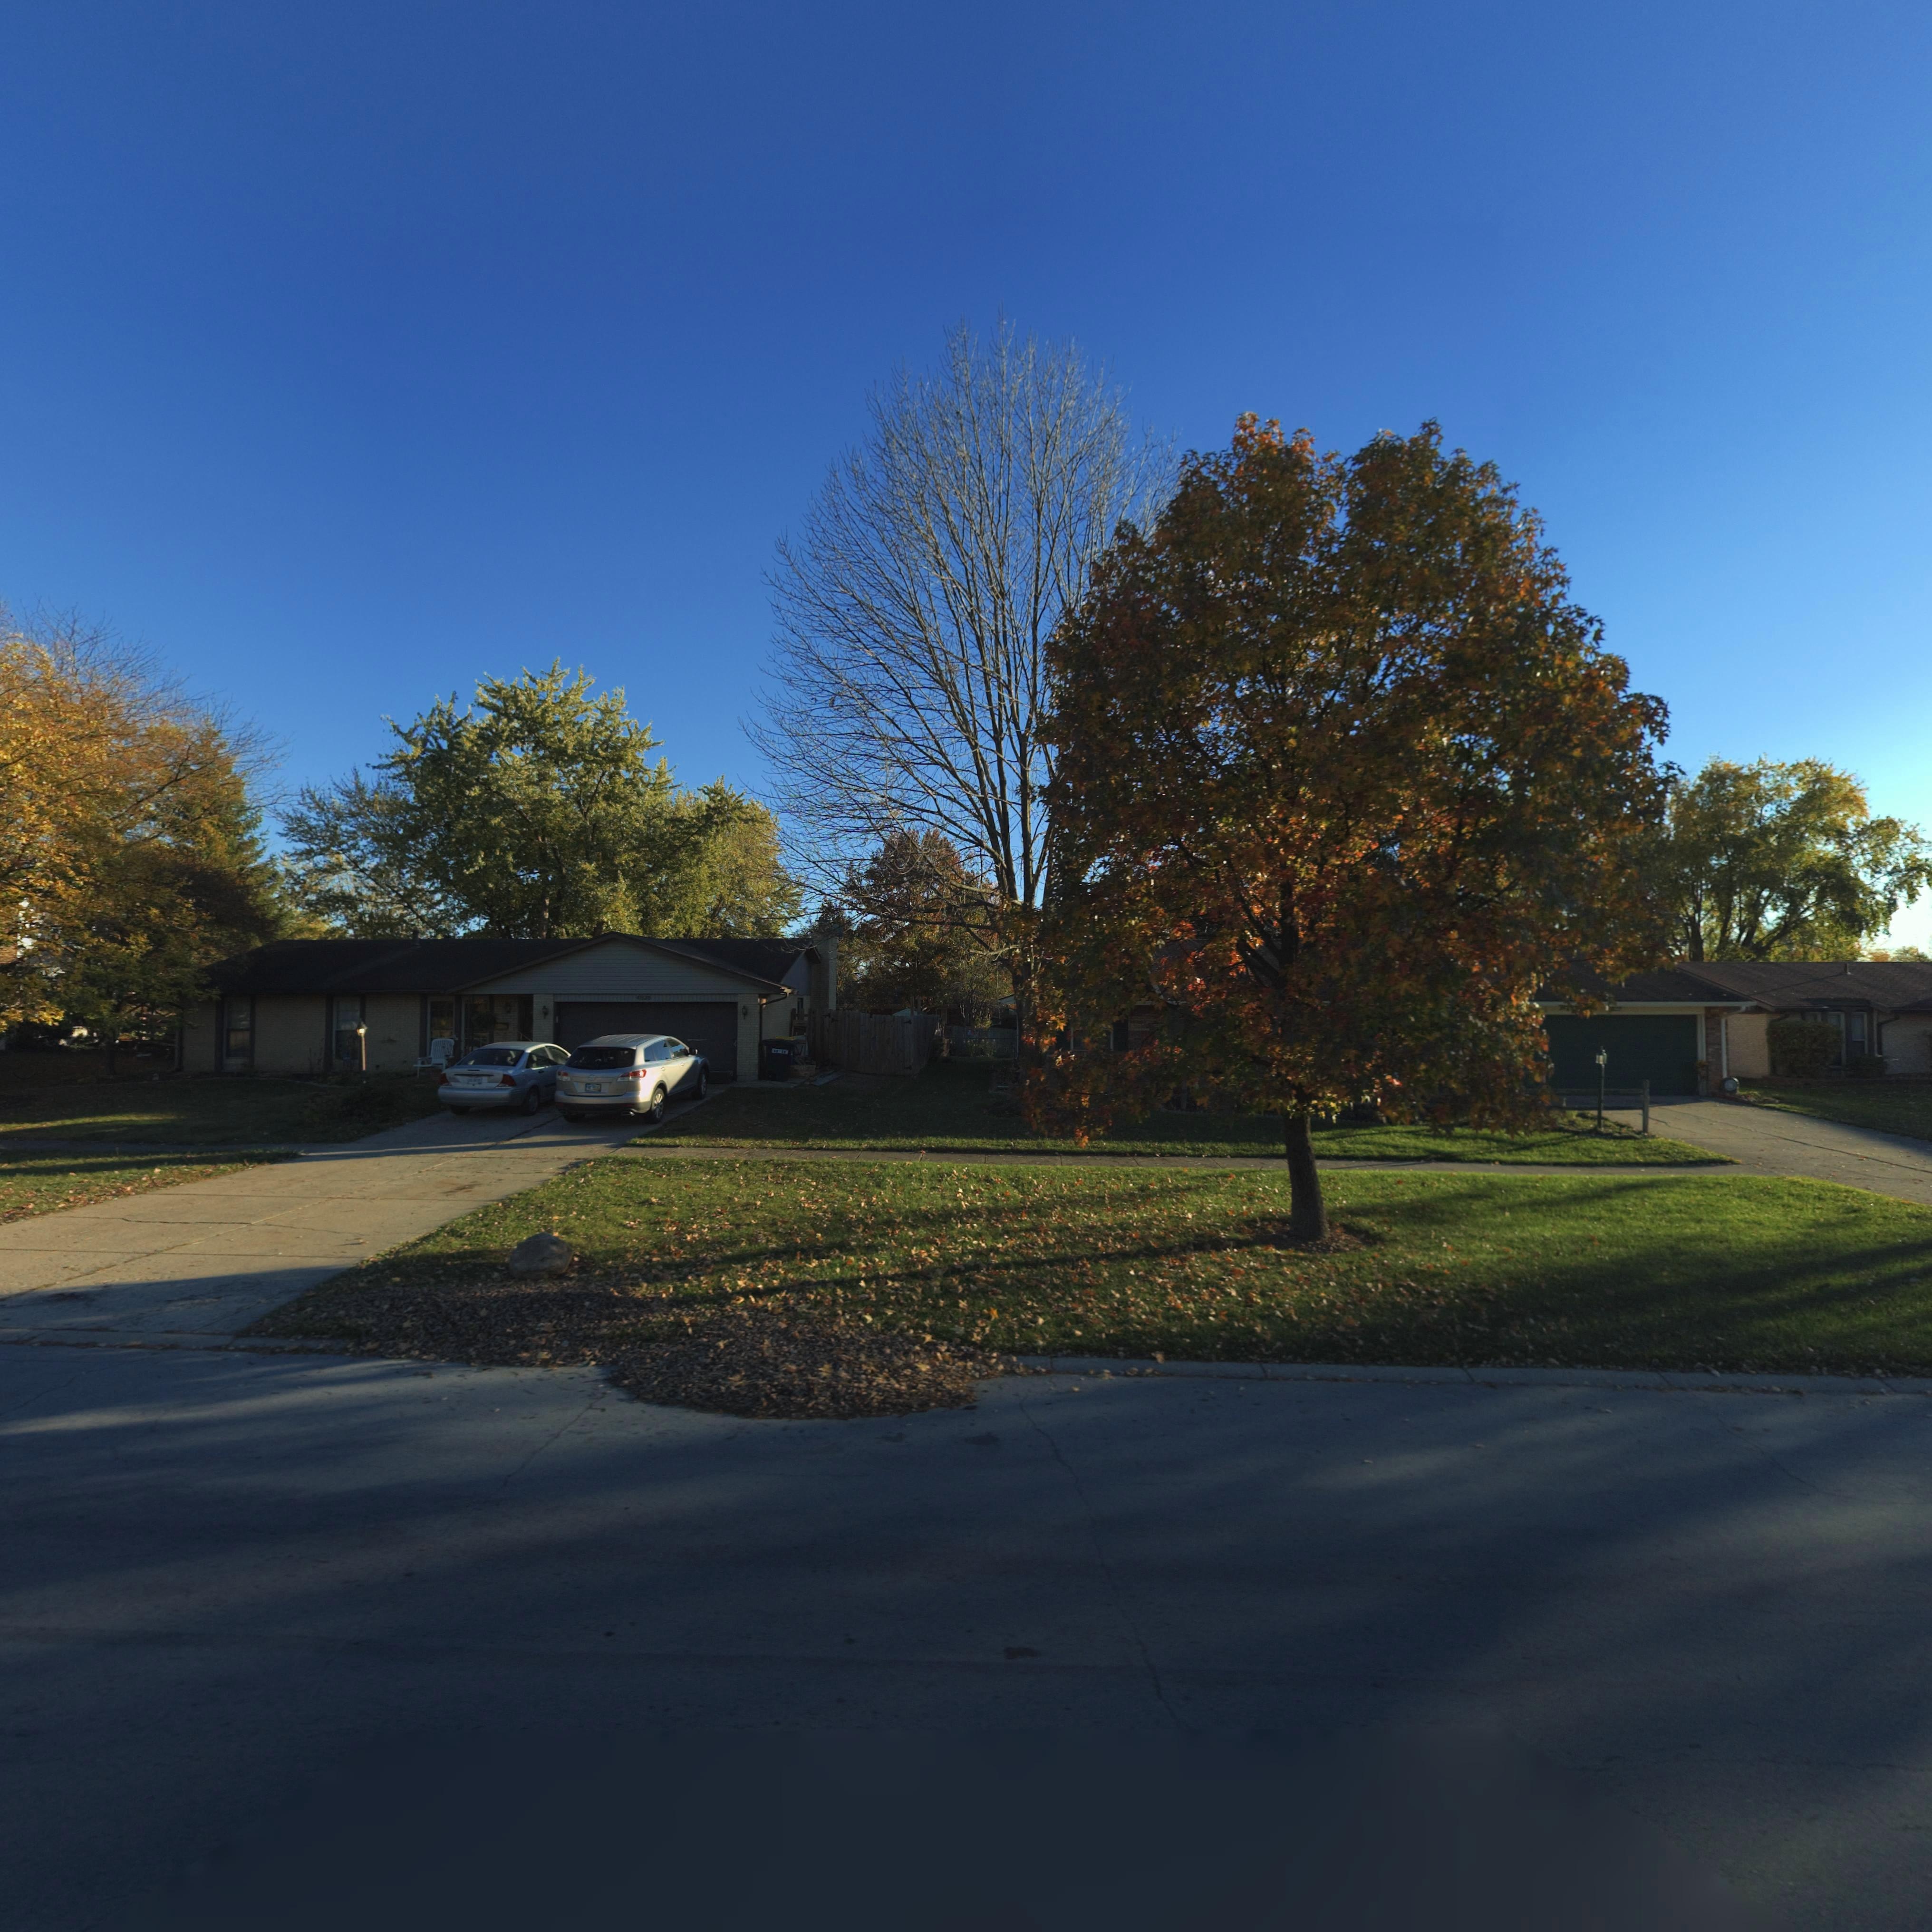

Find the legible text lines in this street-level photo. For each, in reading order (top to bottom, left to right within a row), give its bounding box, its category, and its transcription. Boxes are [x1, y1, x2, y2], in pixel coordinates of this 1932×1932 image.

[636, 995, 651, 1000] StreetNumber: 4928